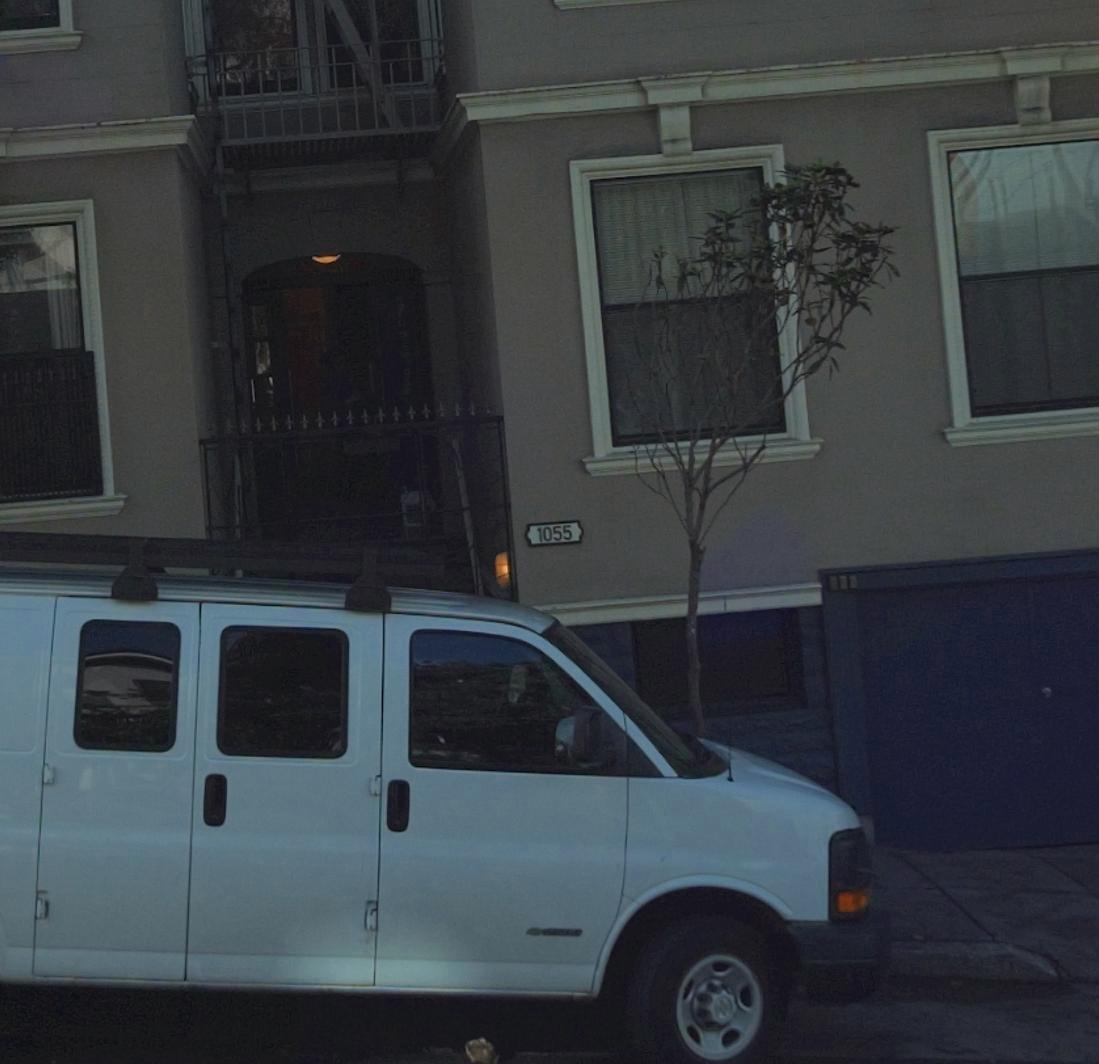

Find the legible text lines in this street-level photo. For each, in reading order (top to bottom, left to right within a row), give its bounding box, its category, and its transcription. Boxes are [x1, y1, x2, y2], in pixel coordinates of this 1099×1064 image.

[534, 522, 575, 546] StreetNumber: 1055